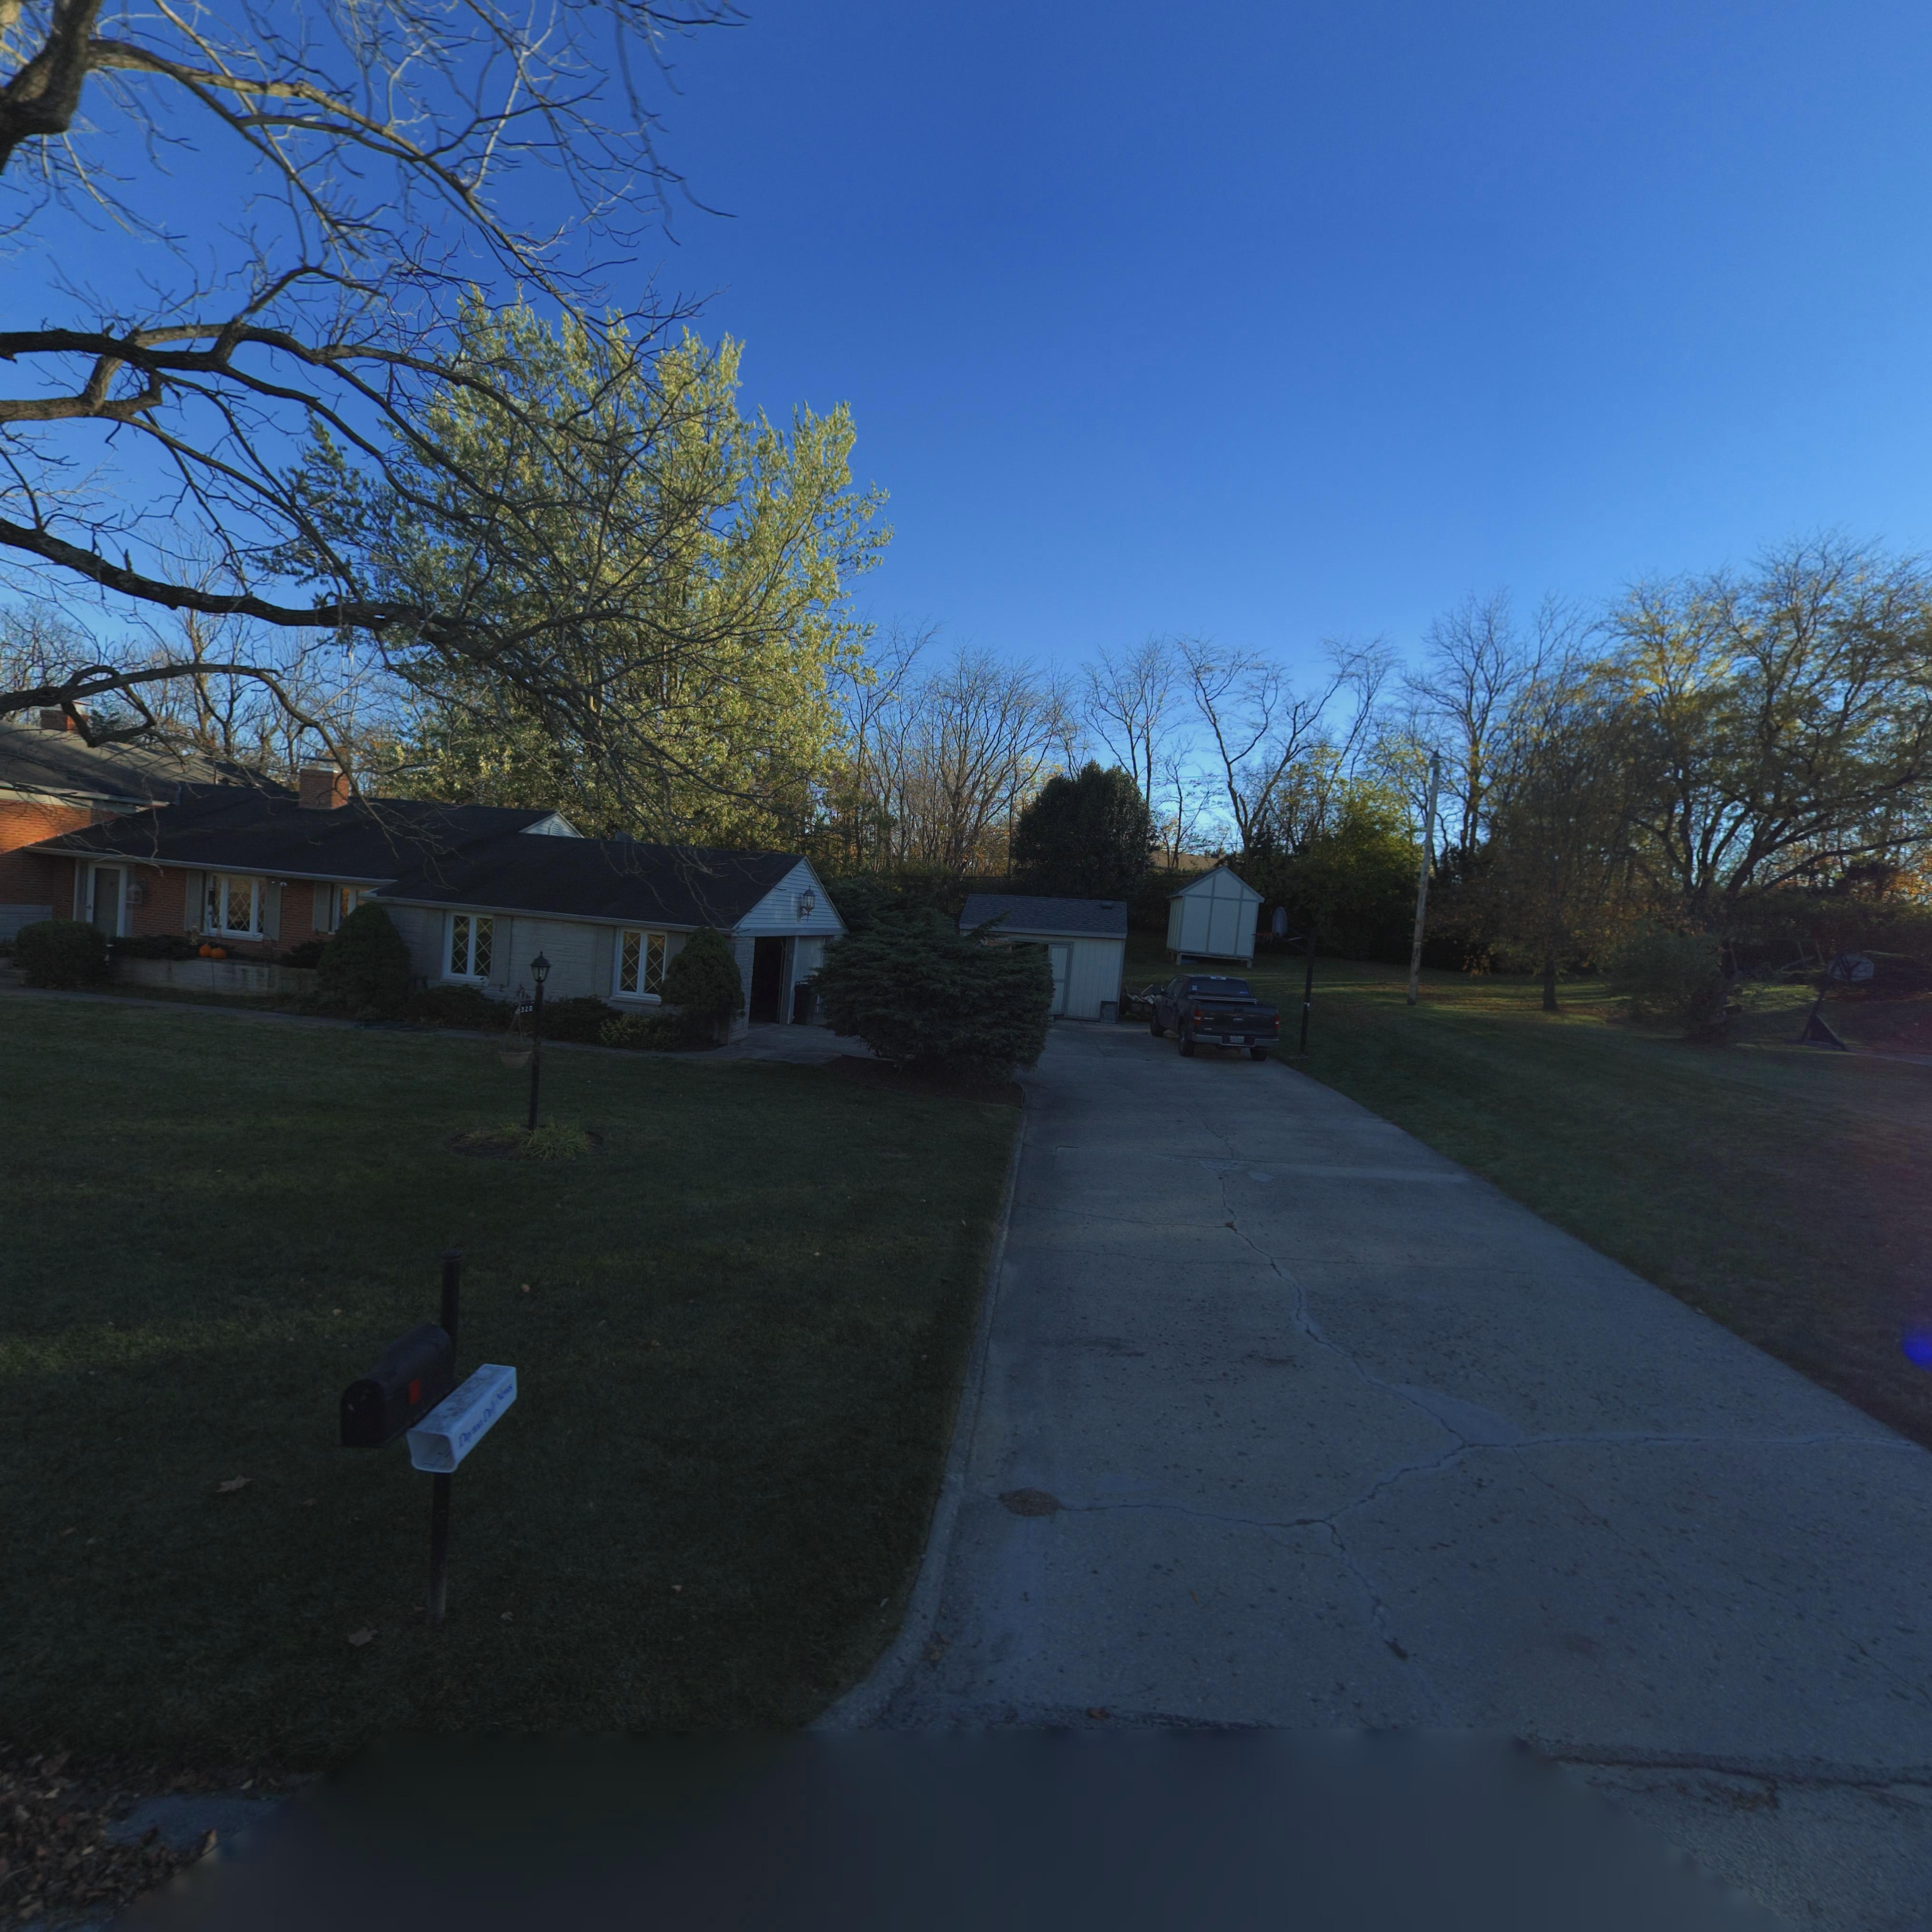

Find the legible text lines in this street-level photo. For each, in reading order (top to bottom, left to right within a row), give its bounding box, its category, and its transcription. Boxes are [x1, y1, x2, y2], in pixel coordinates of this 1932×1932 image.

[520, 1005, 534, 1014] StreetNumber: 320